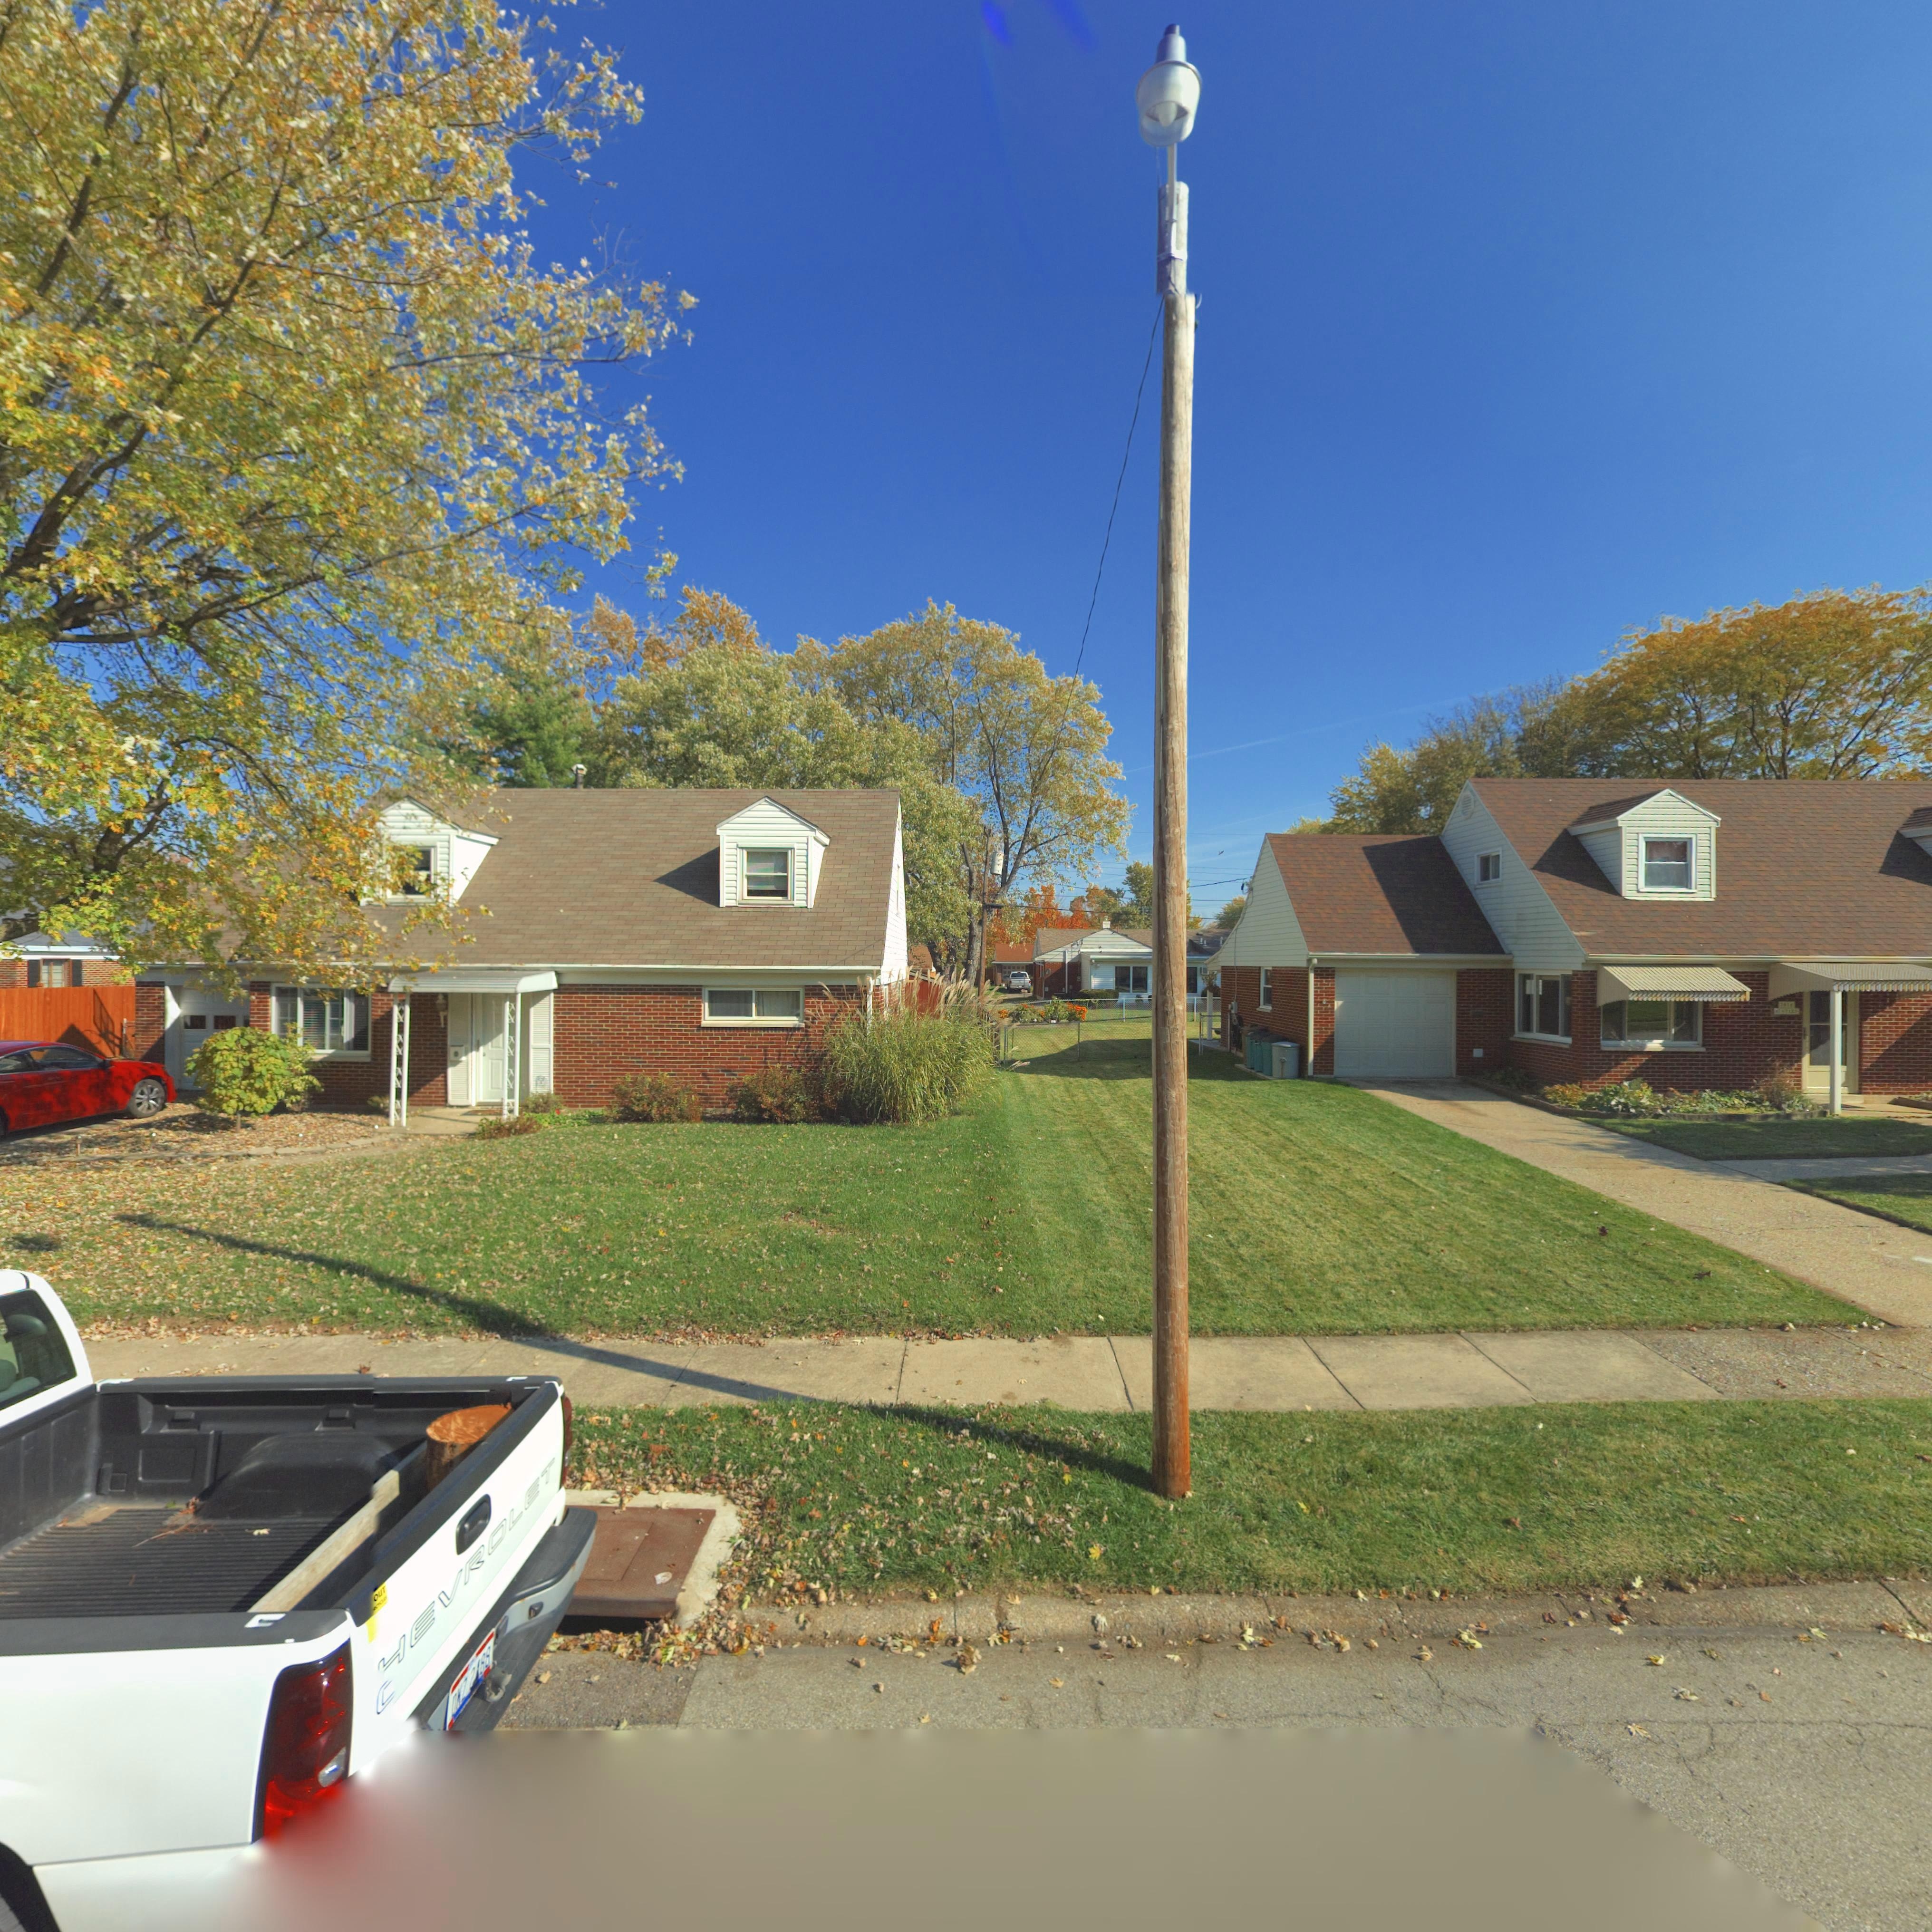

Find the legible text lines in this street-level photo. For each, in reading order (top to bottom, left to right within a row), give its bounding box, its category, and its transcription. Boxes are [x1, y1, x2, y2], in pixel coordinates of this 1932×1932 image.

[407, 1452, 558, 1652] None: EVROLET
[478, 1640, 493, 1679] None: 88